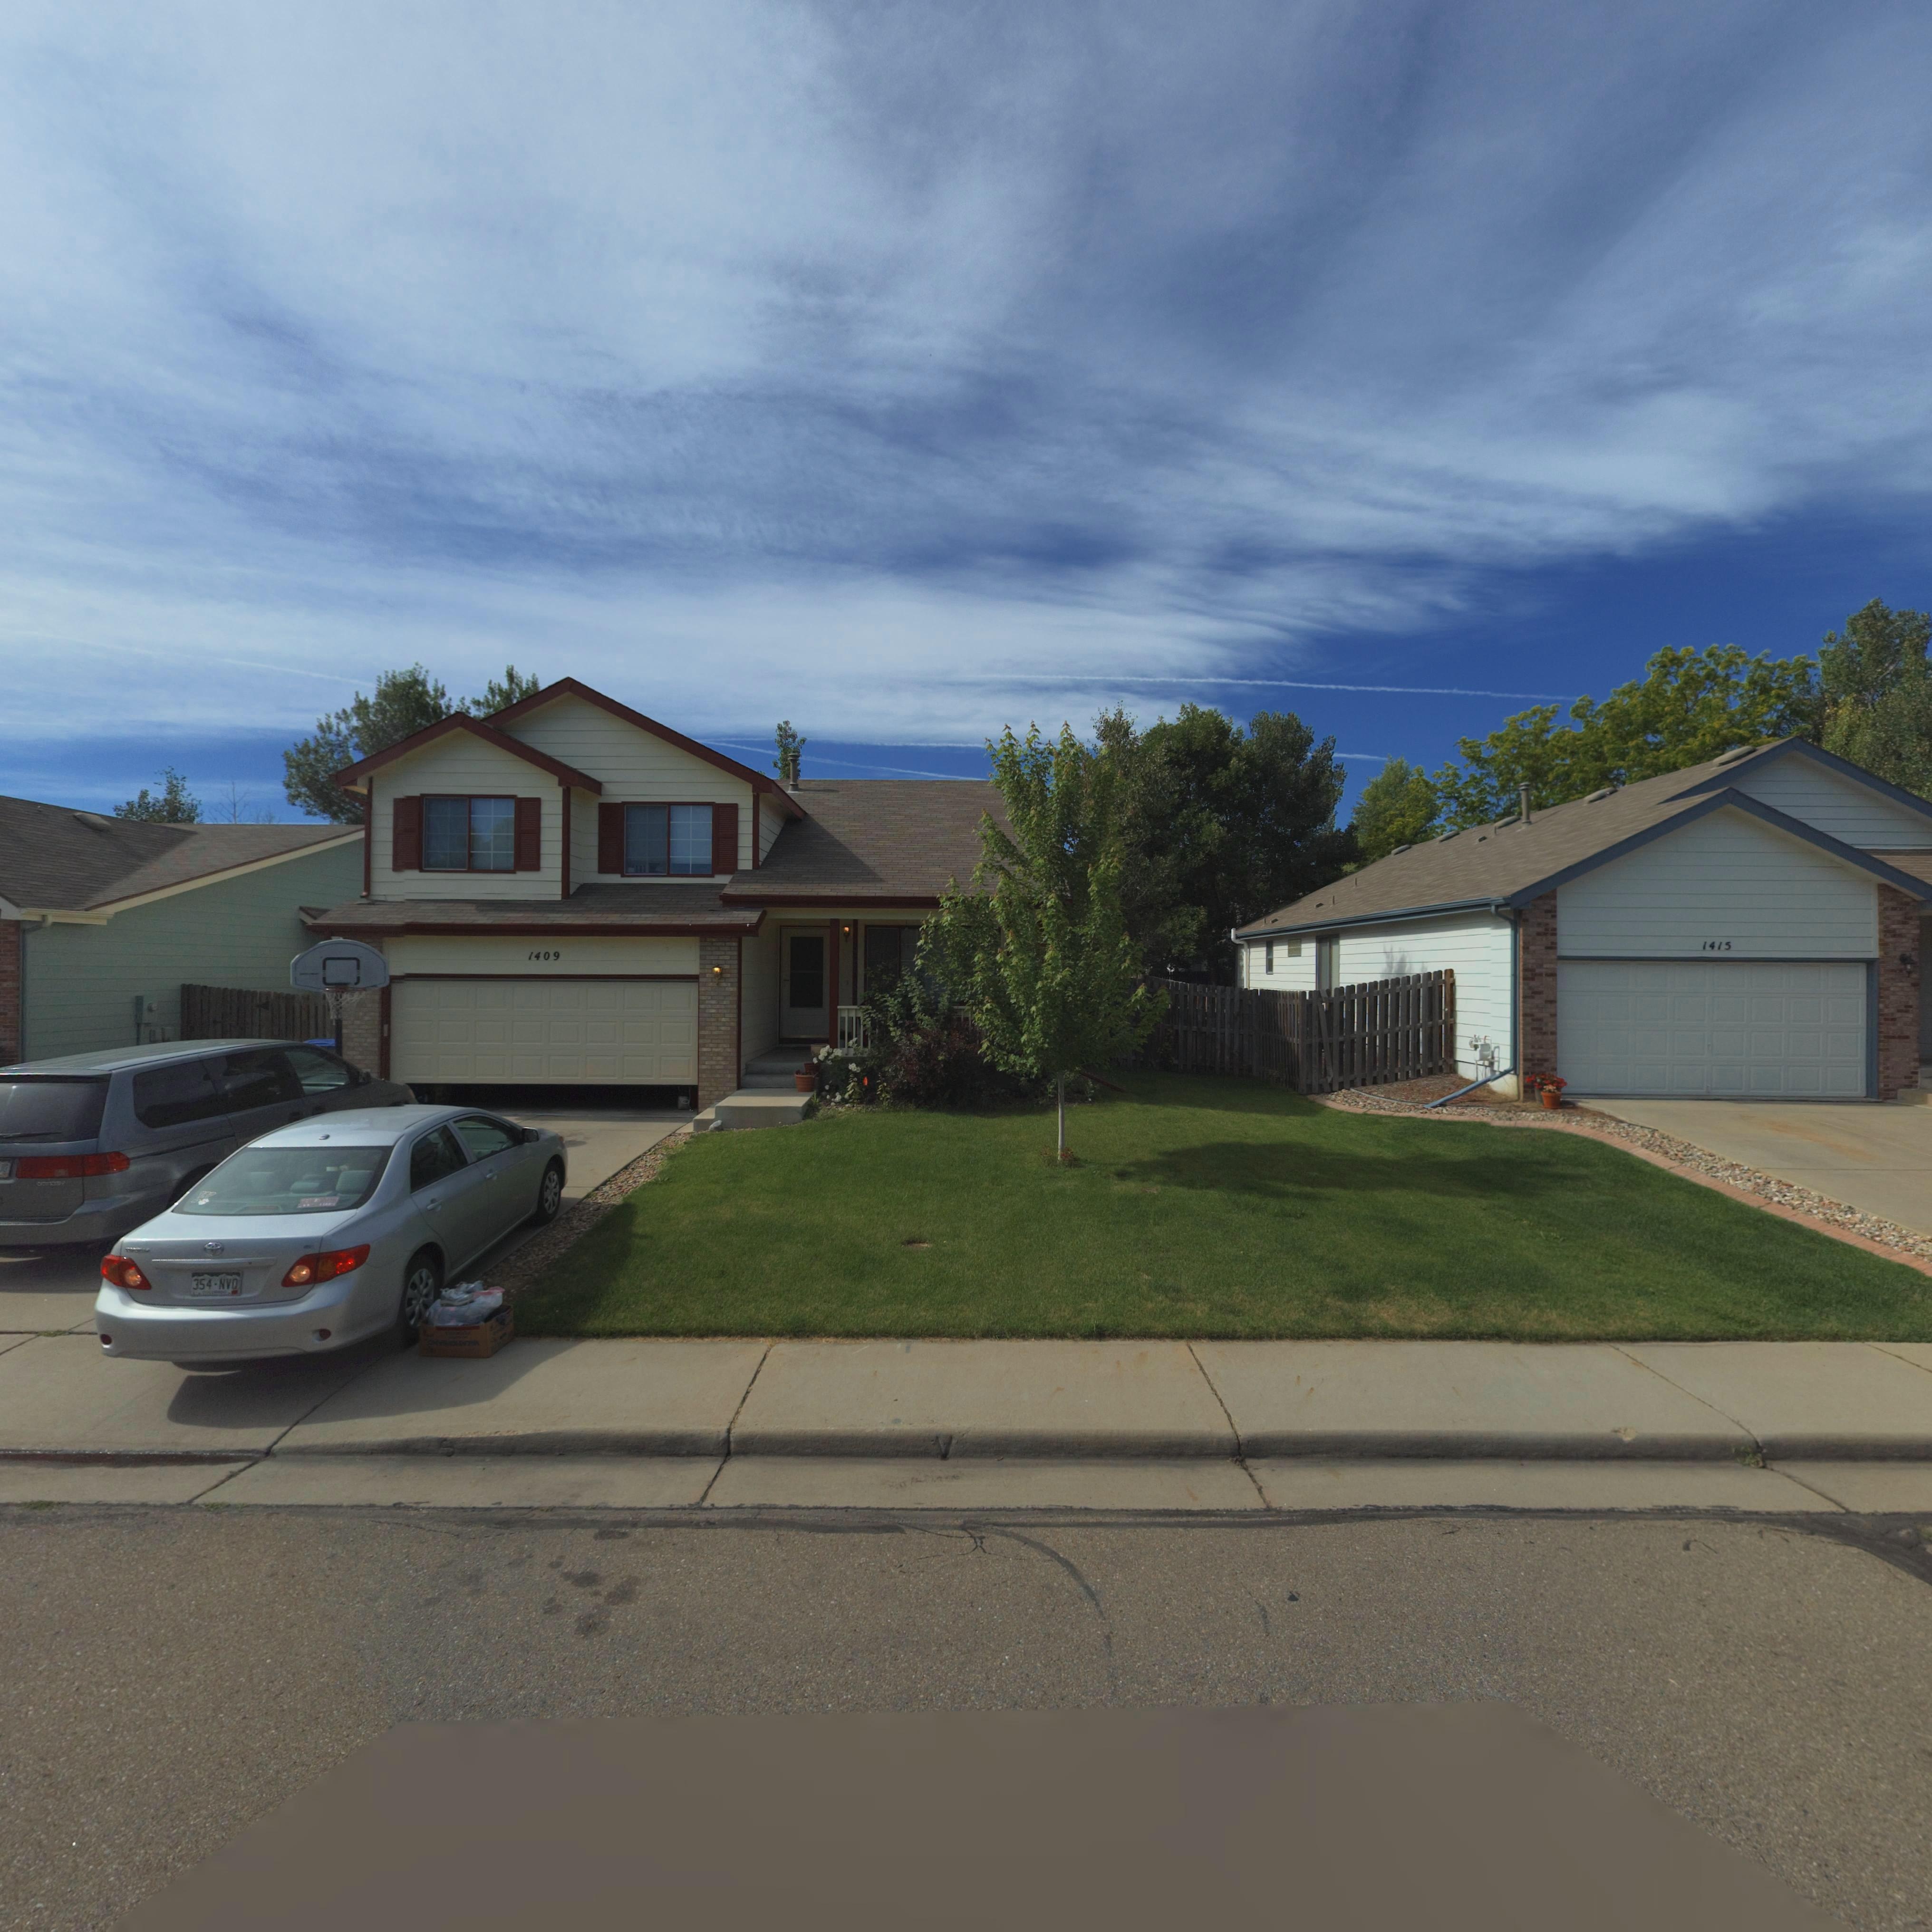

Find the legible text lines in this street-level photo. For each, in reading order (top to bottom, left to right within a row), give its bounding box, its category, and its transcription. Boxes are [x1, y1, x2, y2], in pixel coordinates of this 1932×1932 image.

[1702, 940, 1731, 950] StreetNumber: 1415
[527, 950, 560, 961] StreetNumber: 1409